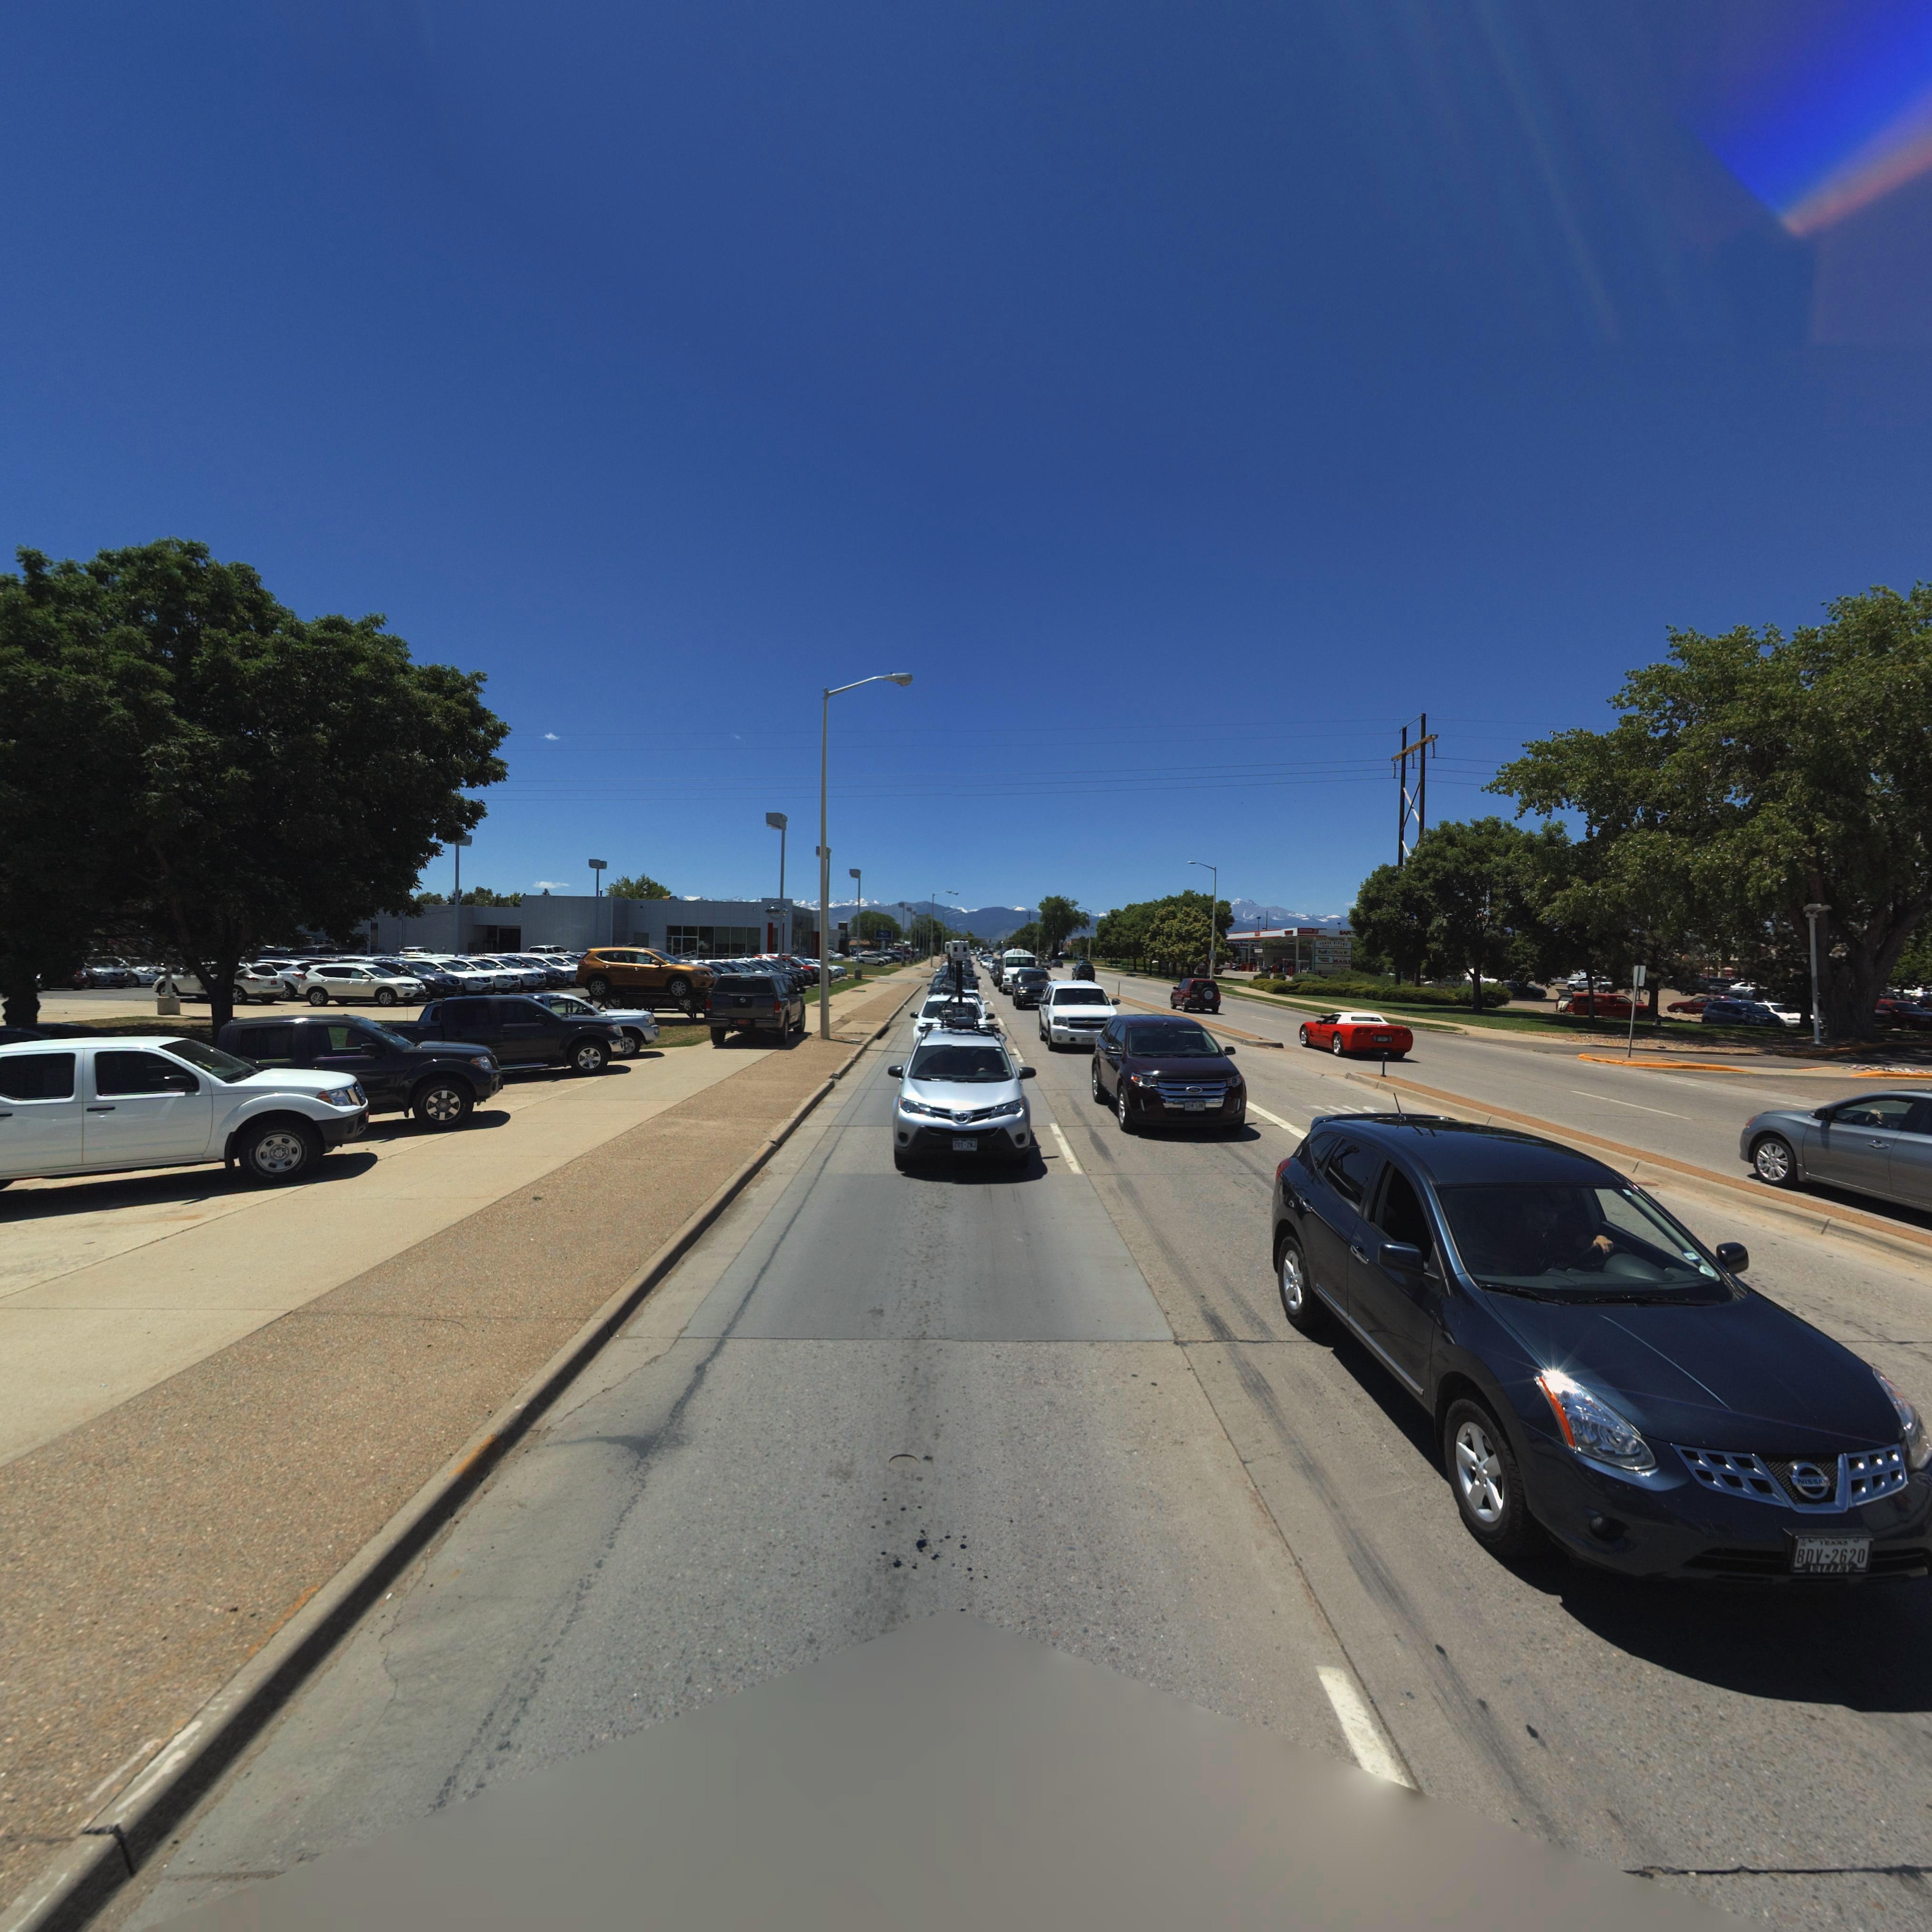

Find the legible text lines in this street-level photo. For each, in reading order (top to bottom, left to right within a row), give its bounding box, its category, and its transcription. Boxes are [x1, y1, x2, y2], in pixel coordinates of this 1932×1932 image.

[1340, 930, 1352, 935] BusinessName: SAF*
[1240, 942, 1256, 947] BusinessName: ke* p
[1318, 949, 1343, 954] BusinessName: Fed*xO***c*